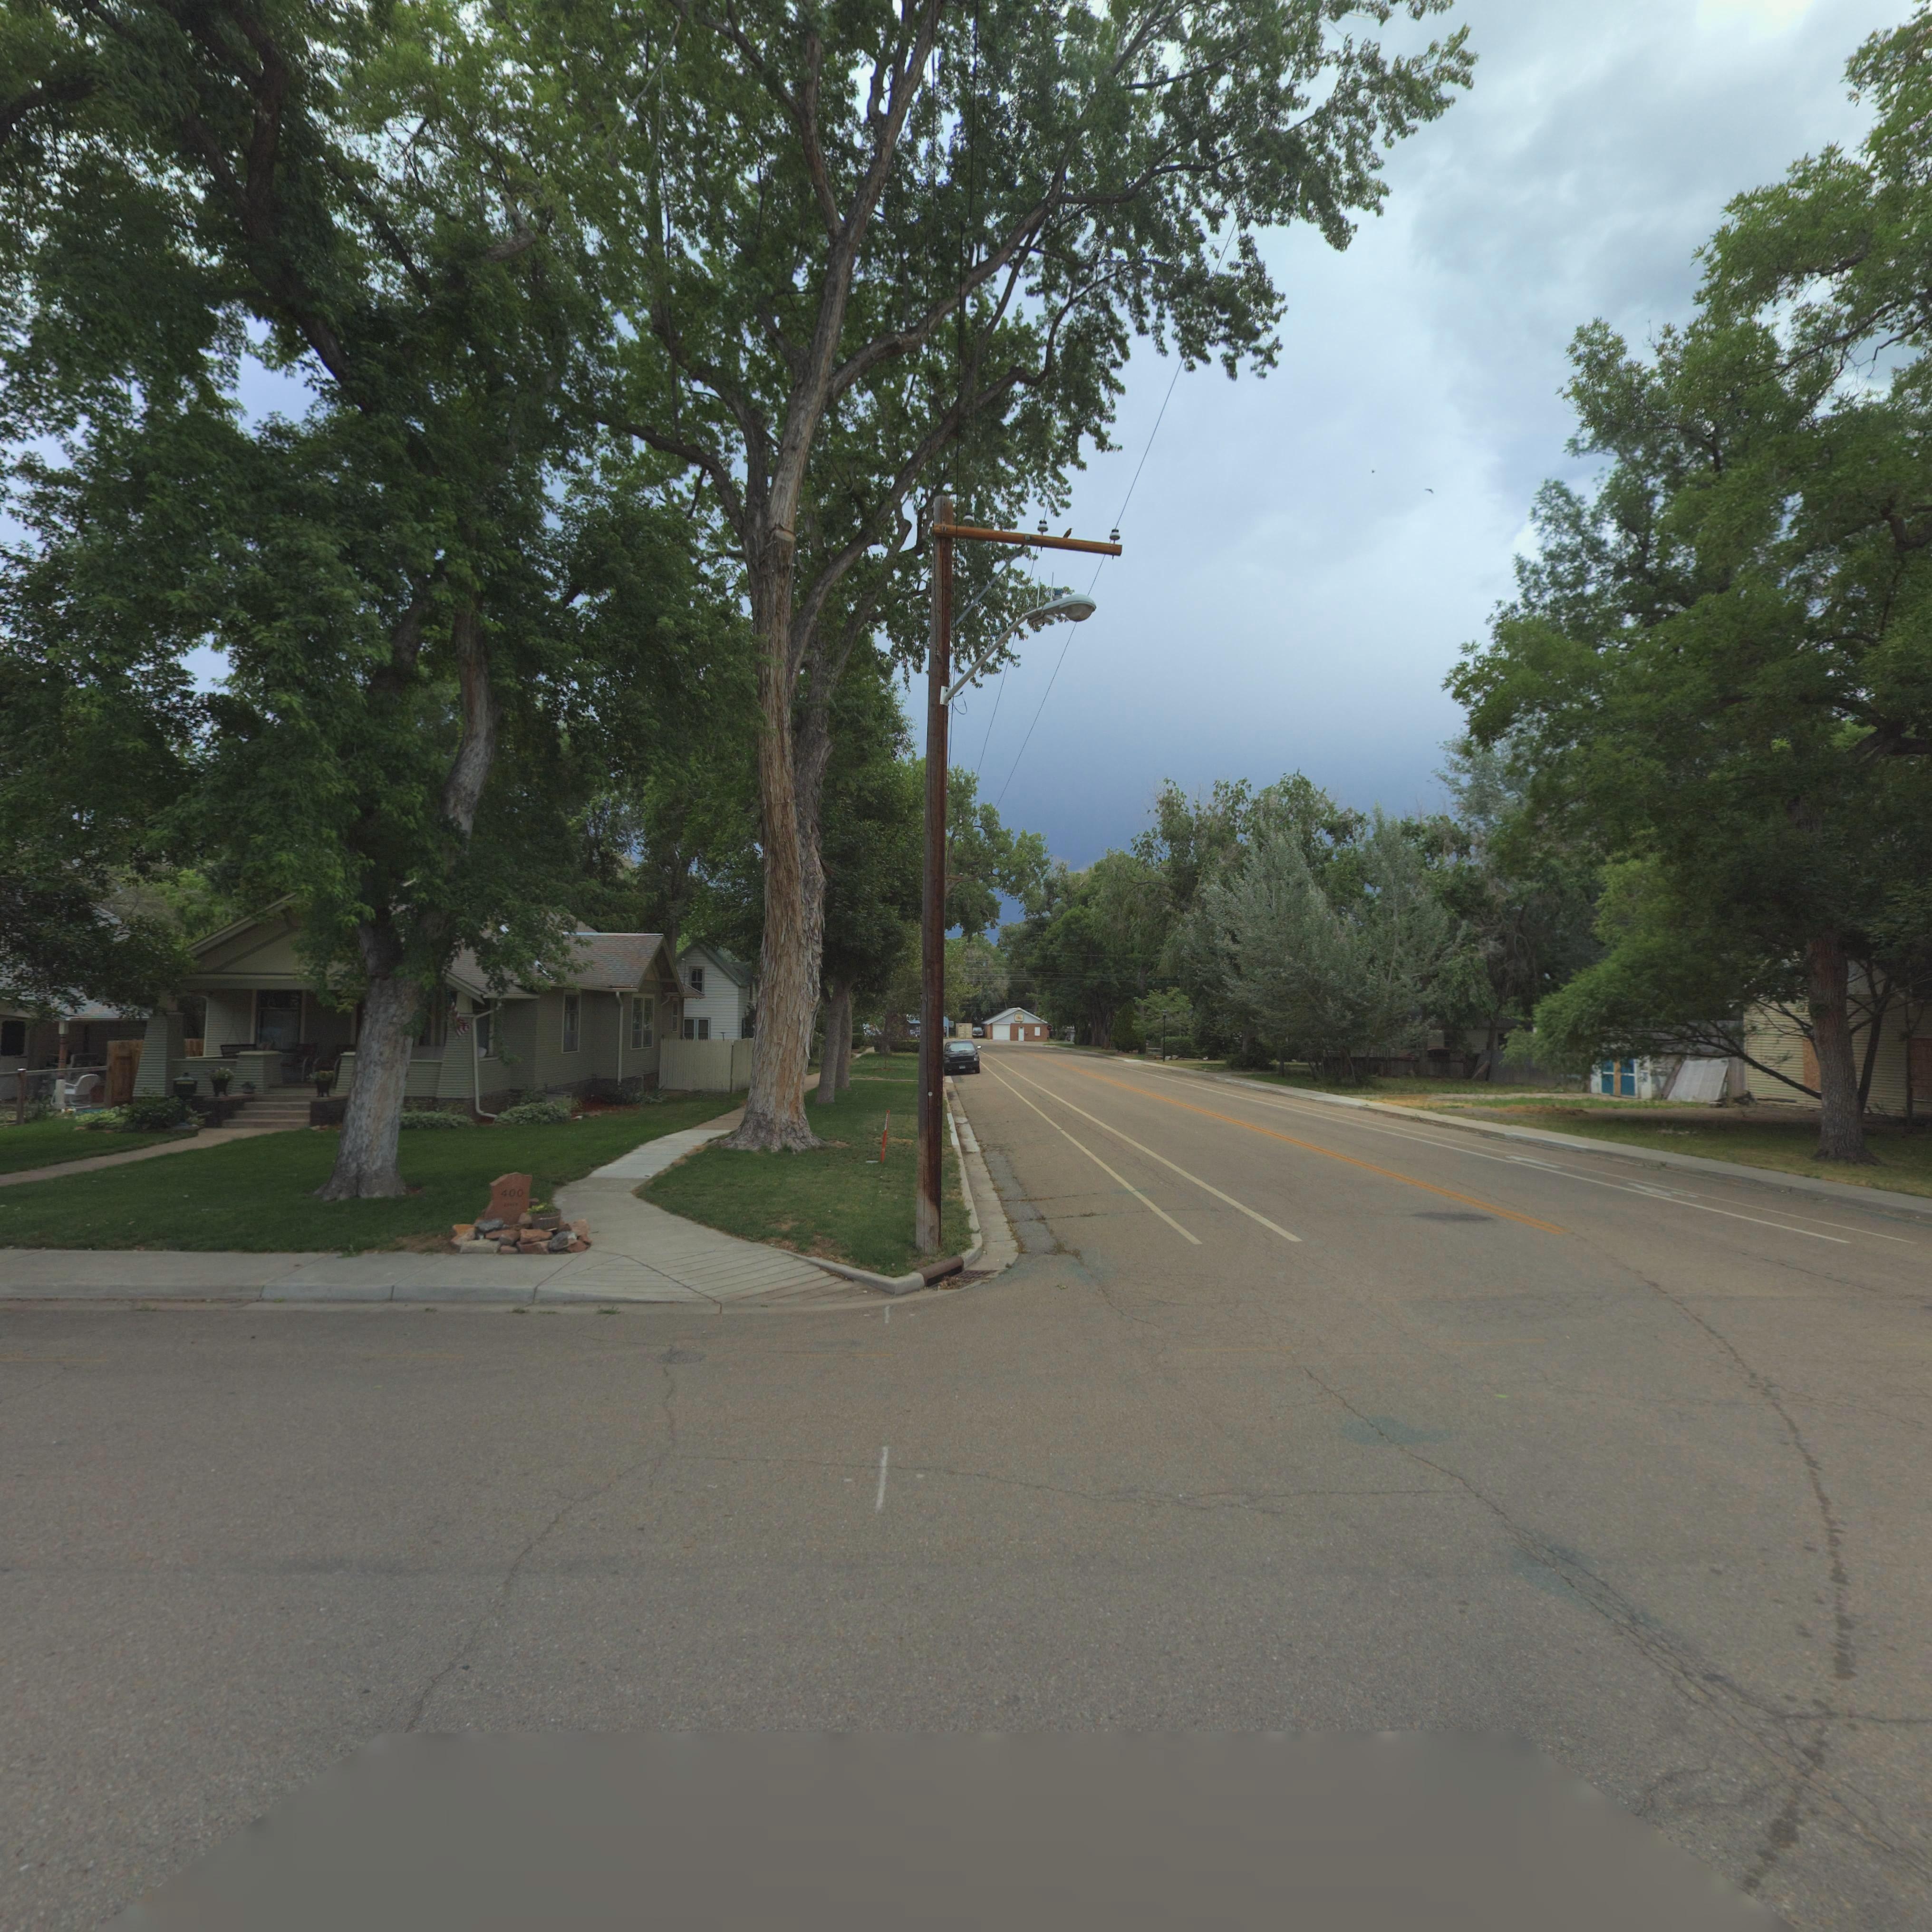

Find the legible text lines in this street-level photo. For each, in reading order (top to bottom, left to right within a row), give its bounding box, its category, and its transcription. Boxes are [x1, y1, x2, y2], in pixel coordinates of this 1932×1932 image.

[500, 1188, 523, 1198] StreetNumber: 400